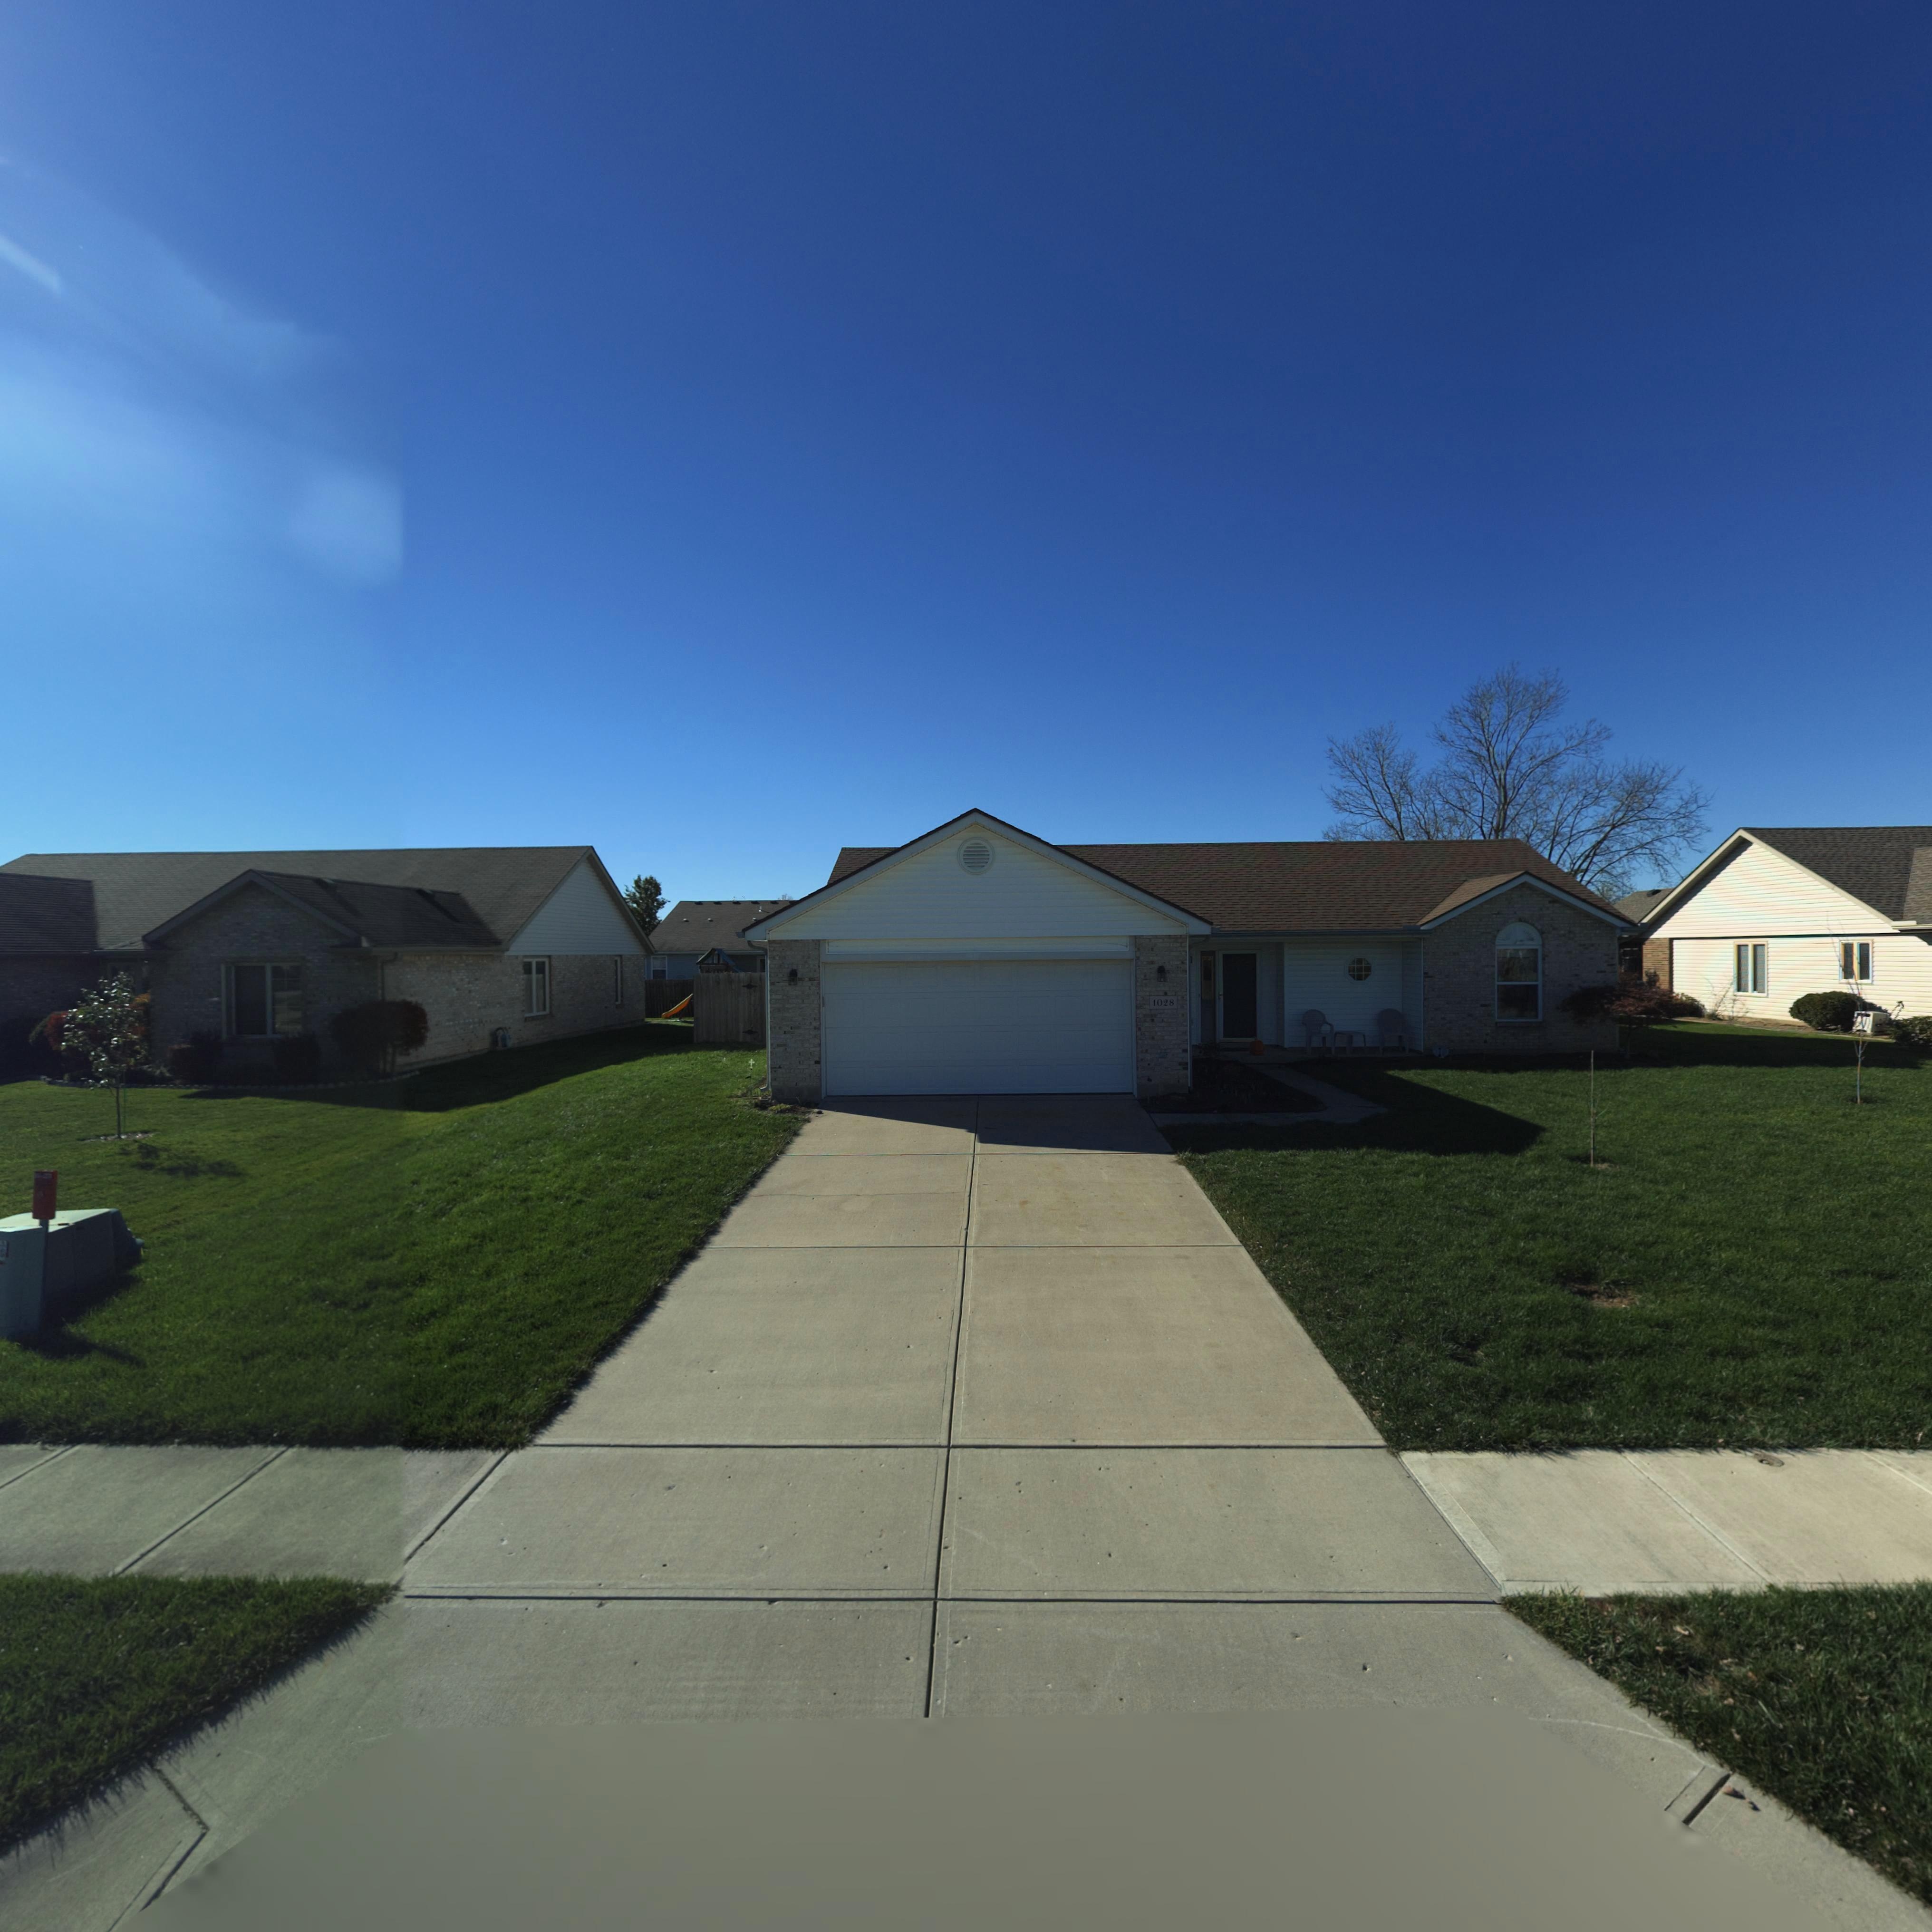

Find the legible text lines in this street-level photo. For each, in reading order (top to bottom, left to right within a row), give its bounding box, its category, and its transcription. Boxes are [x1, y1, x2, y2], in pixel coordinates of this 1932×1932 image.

[1153, 998, 1175, 1007] StreetNumber: 1028